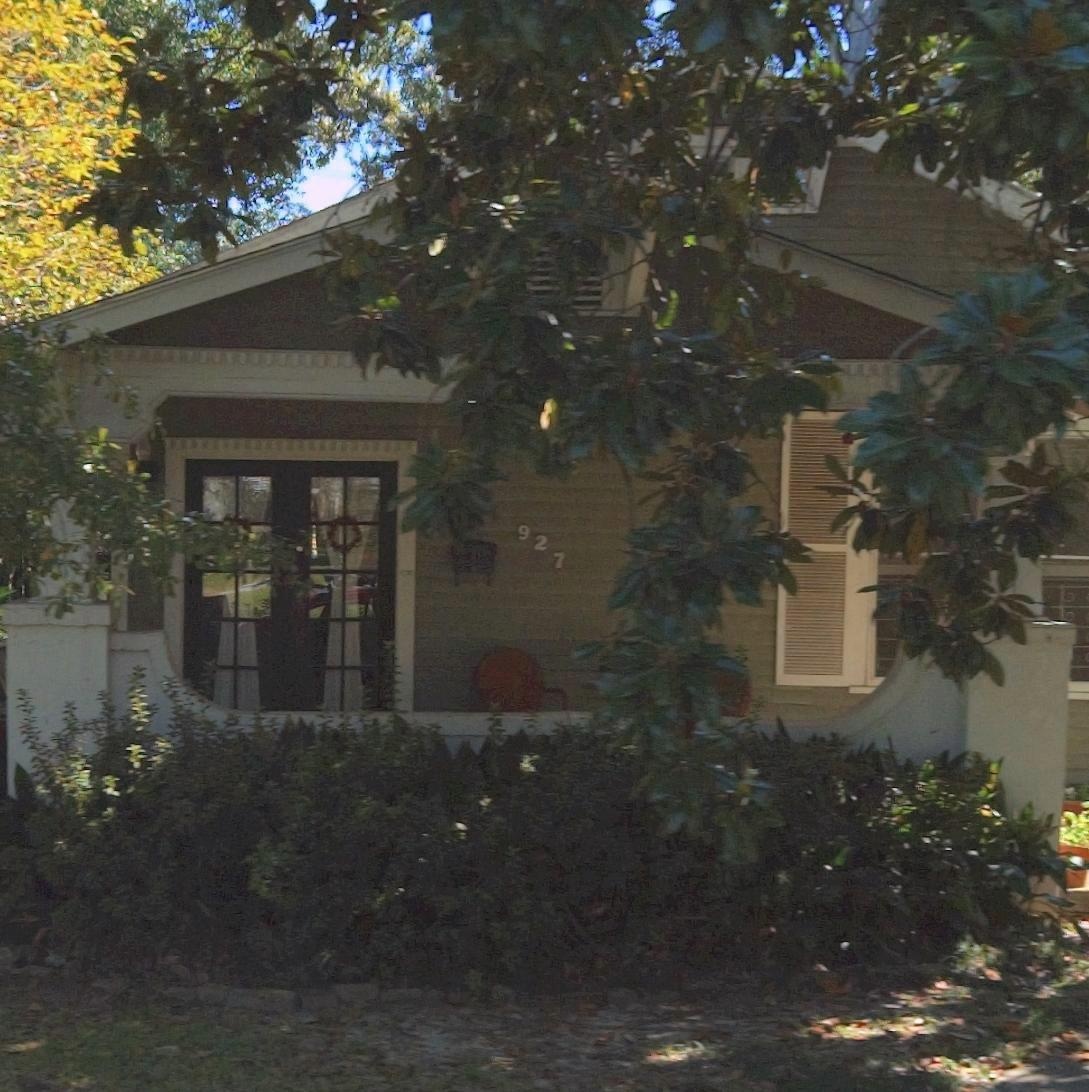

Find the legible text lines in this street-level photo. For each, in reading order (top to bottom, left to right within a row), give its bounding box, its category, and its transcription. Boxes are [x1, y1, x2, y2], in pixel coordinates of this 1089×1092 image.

[516, 523, 567, 571] StreetNumber: 927